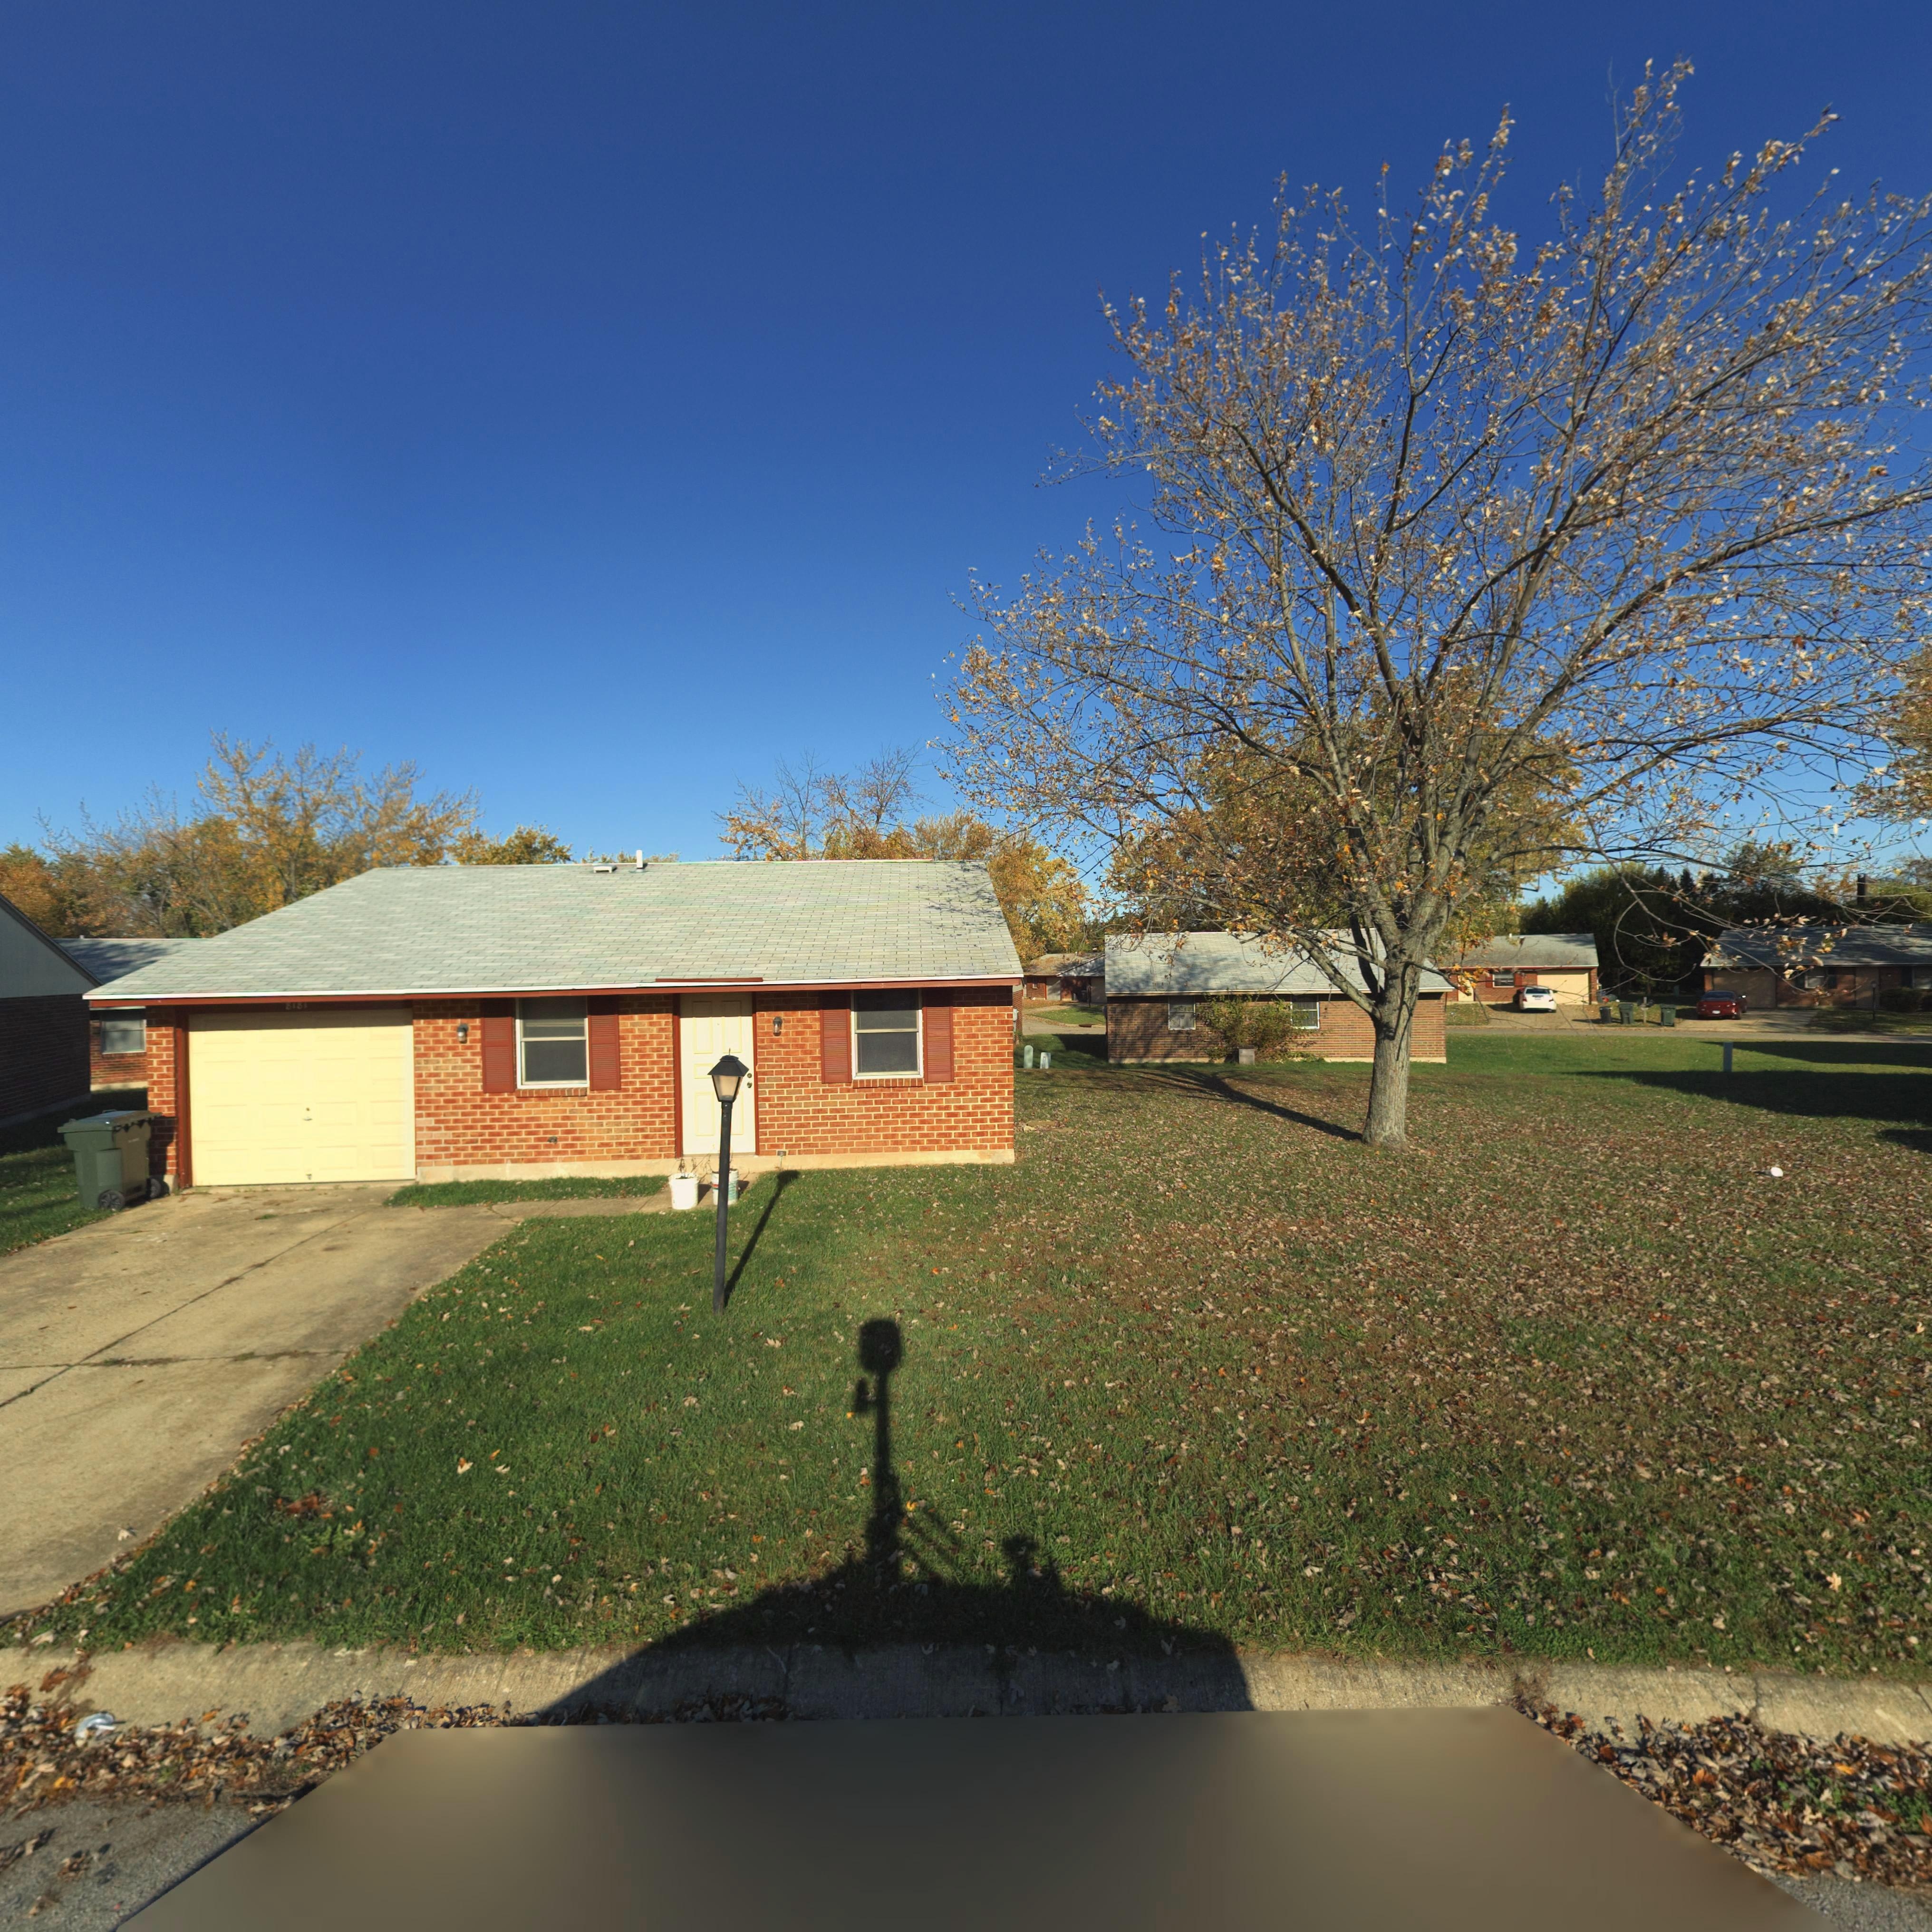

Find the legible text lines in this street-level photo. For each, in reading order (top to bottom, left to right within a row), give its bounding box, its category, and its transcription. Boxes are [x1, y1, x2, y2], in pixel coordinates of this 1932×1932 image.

[284, 1001, 308, 1011] StreetNumber: 8181